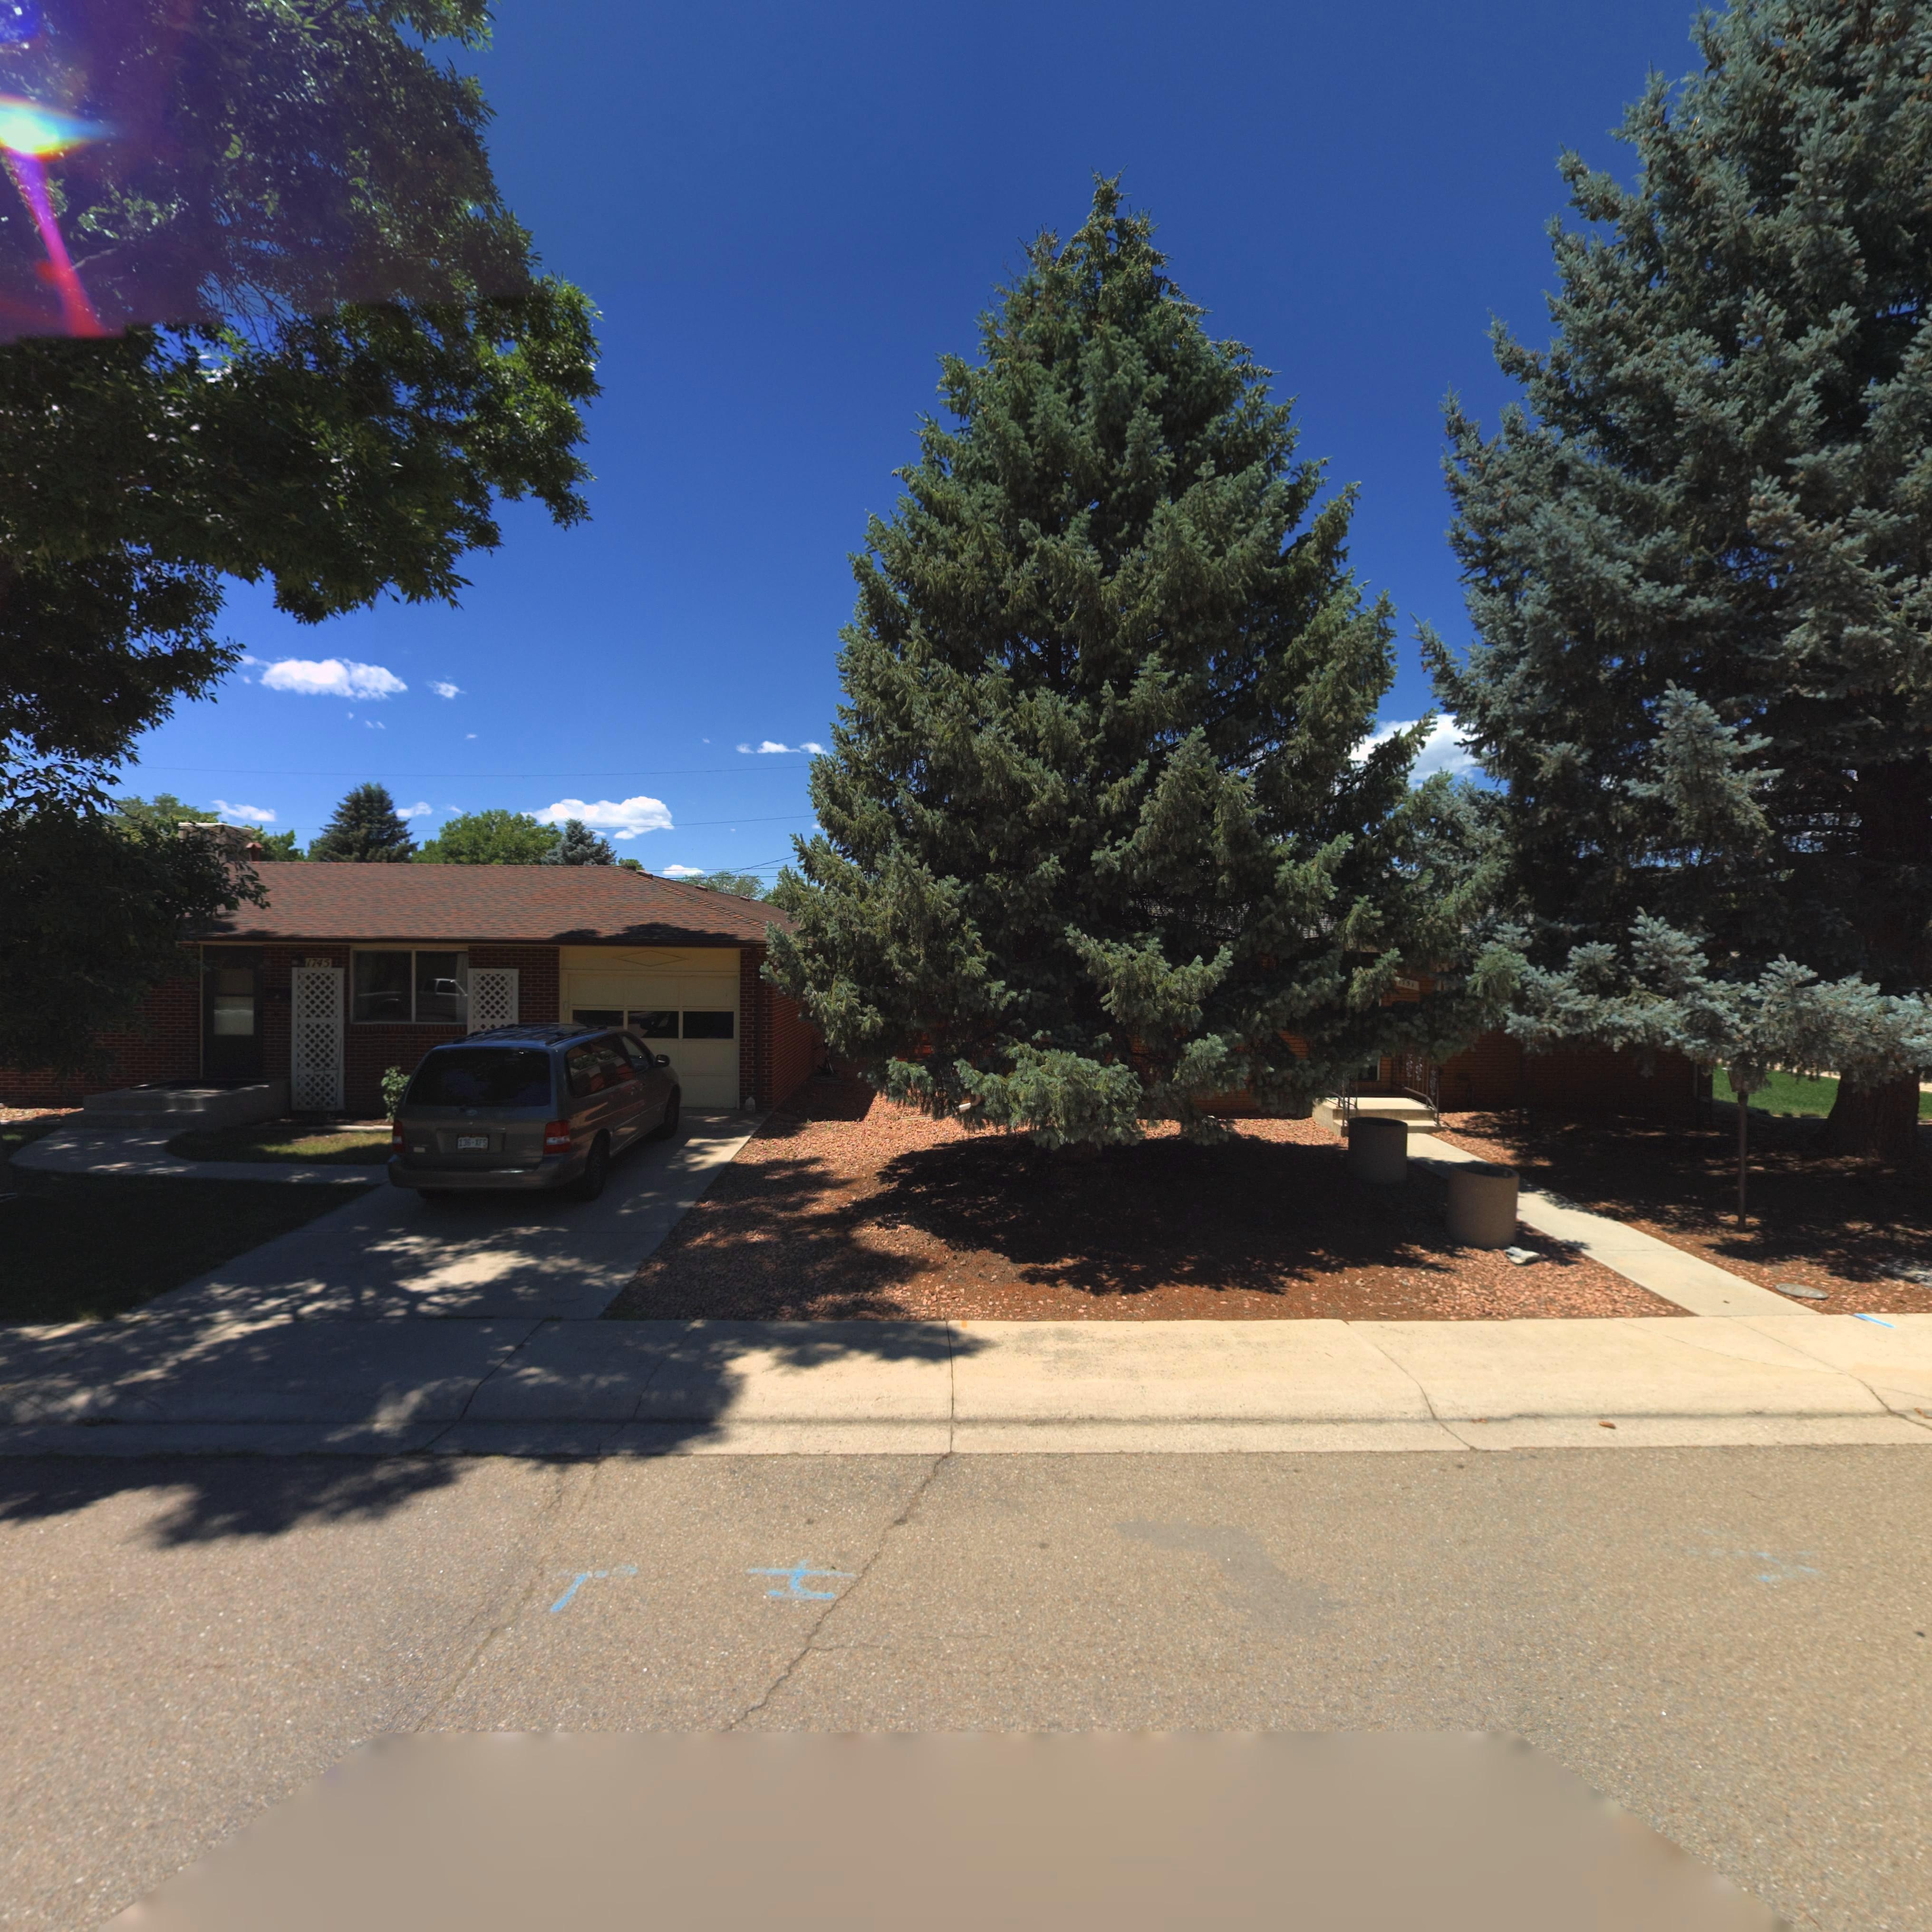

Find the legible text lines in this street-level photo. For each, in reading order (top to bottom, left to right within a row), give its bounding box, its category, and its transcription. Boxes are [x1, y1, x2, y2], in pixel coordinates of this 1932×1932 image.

[306, 958, 329, 967] StreetNumber: 1745
[1398, 978, 1414, 988] StreetNumber: 1751